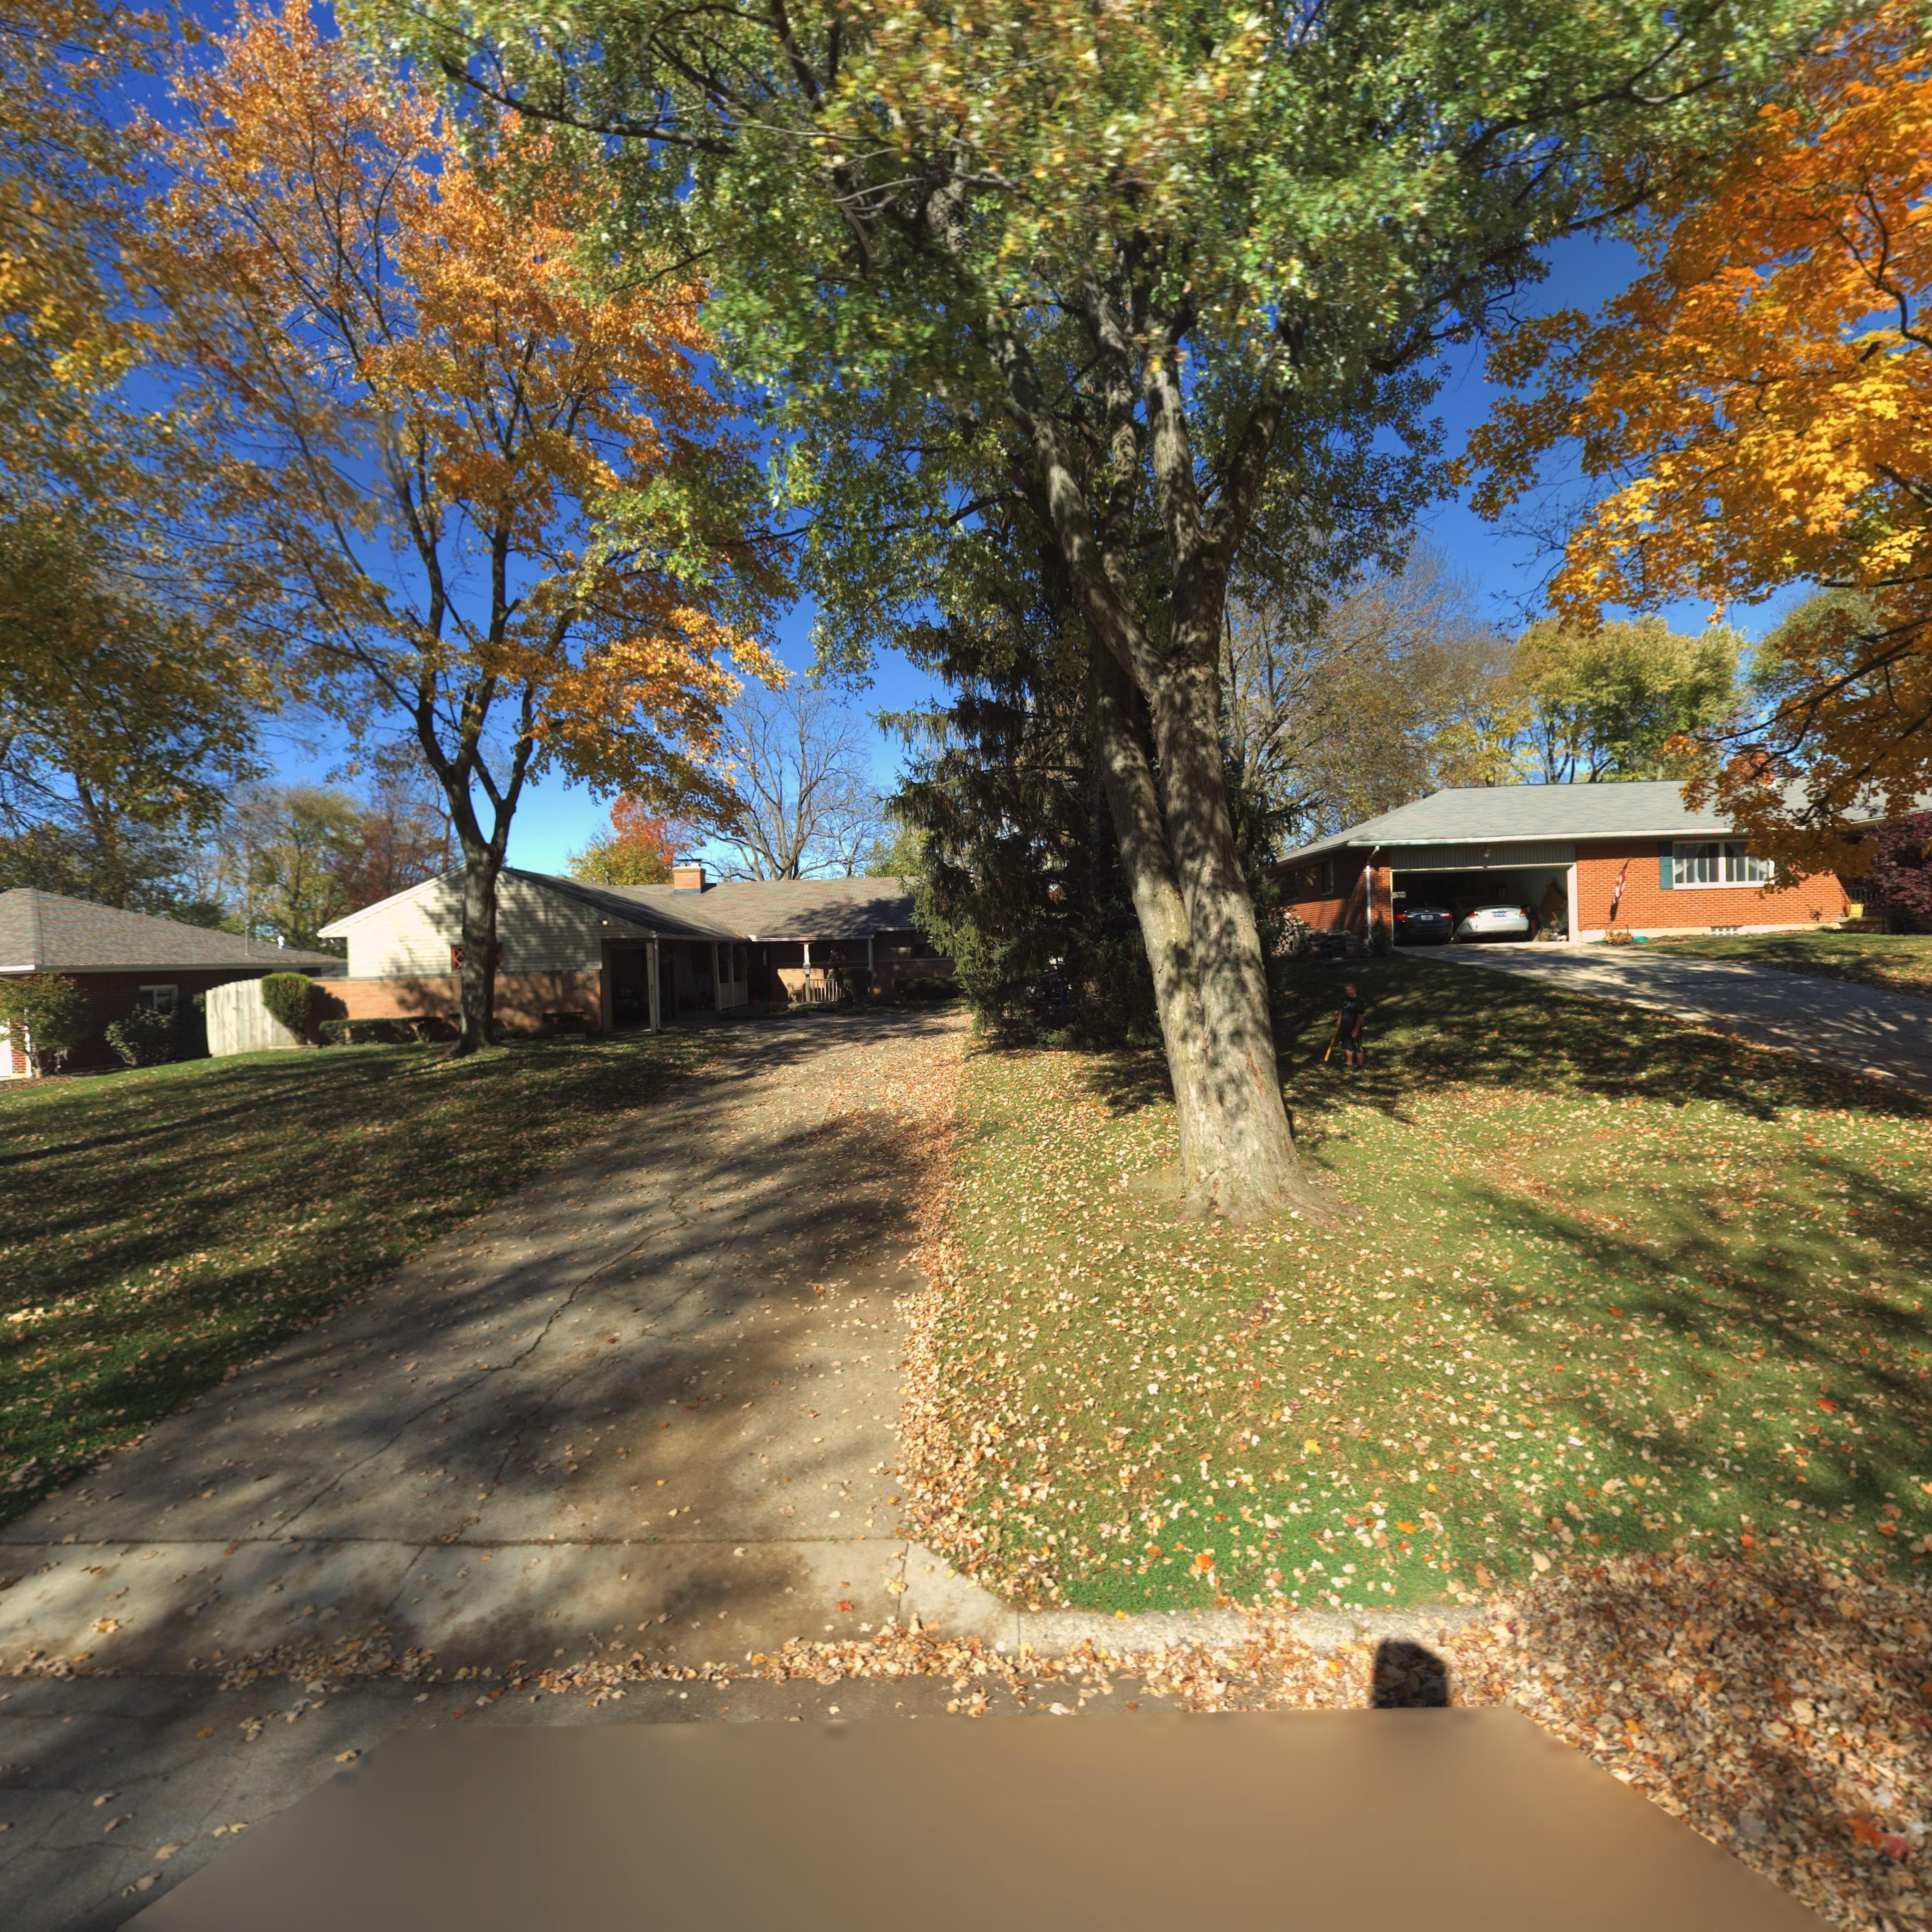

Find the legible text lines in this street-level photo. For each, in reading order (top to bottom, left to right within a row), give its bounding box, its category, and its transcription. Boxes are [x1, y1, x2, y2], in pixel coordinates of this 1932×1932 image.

[648, 984, 655, 1005] StreetNumber: 311